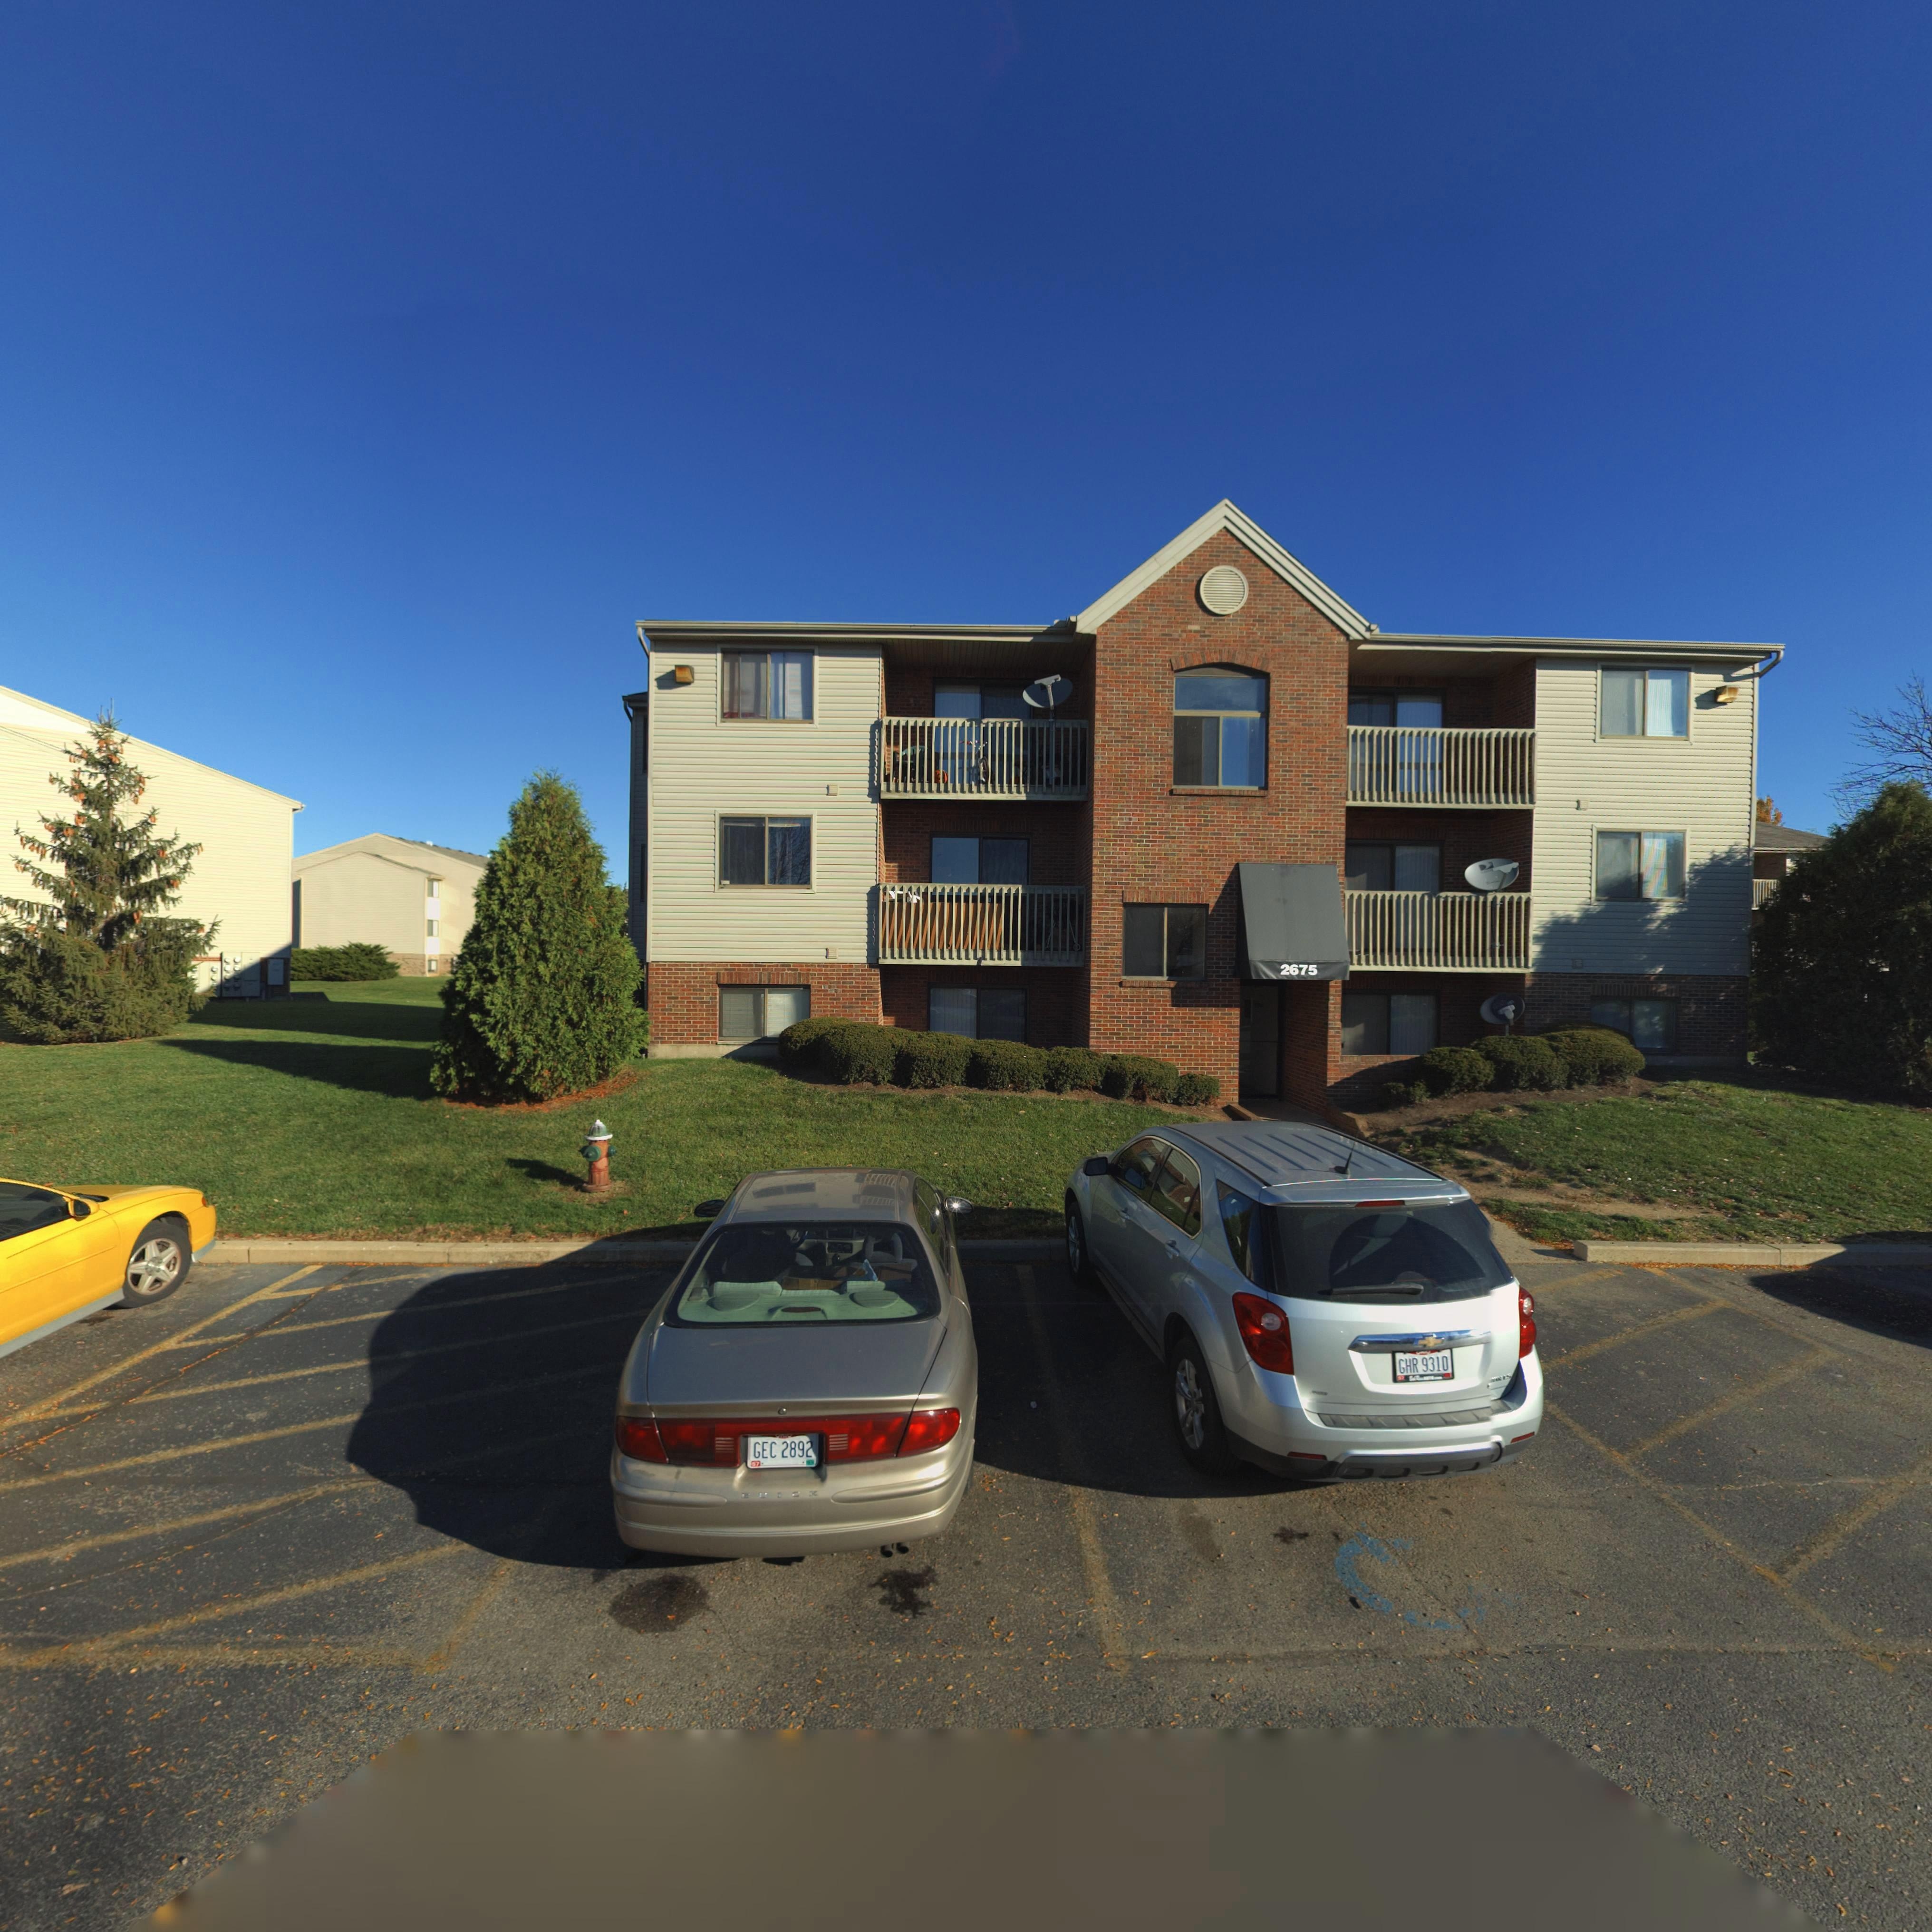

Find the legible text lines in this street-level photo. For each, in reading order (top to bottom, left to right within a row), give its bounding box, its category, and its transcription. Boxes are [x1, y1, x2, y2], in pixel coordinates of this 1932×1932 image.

[1280, 964, 1318, 976] StreetNumber: 2675